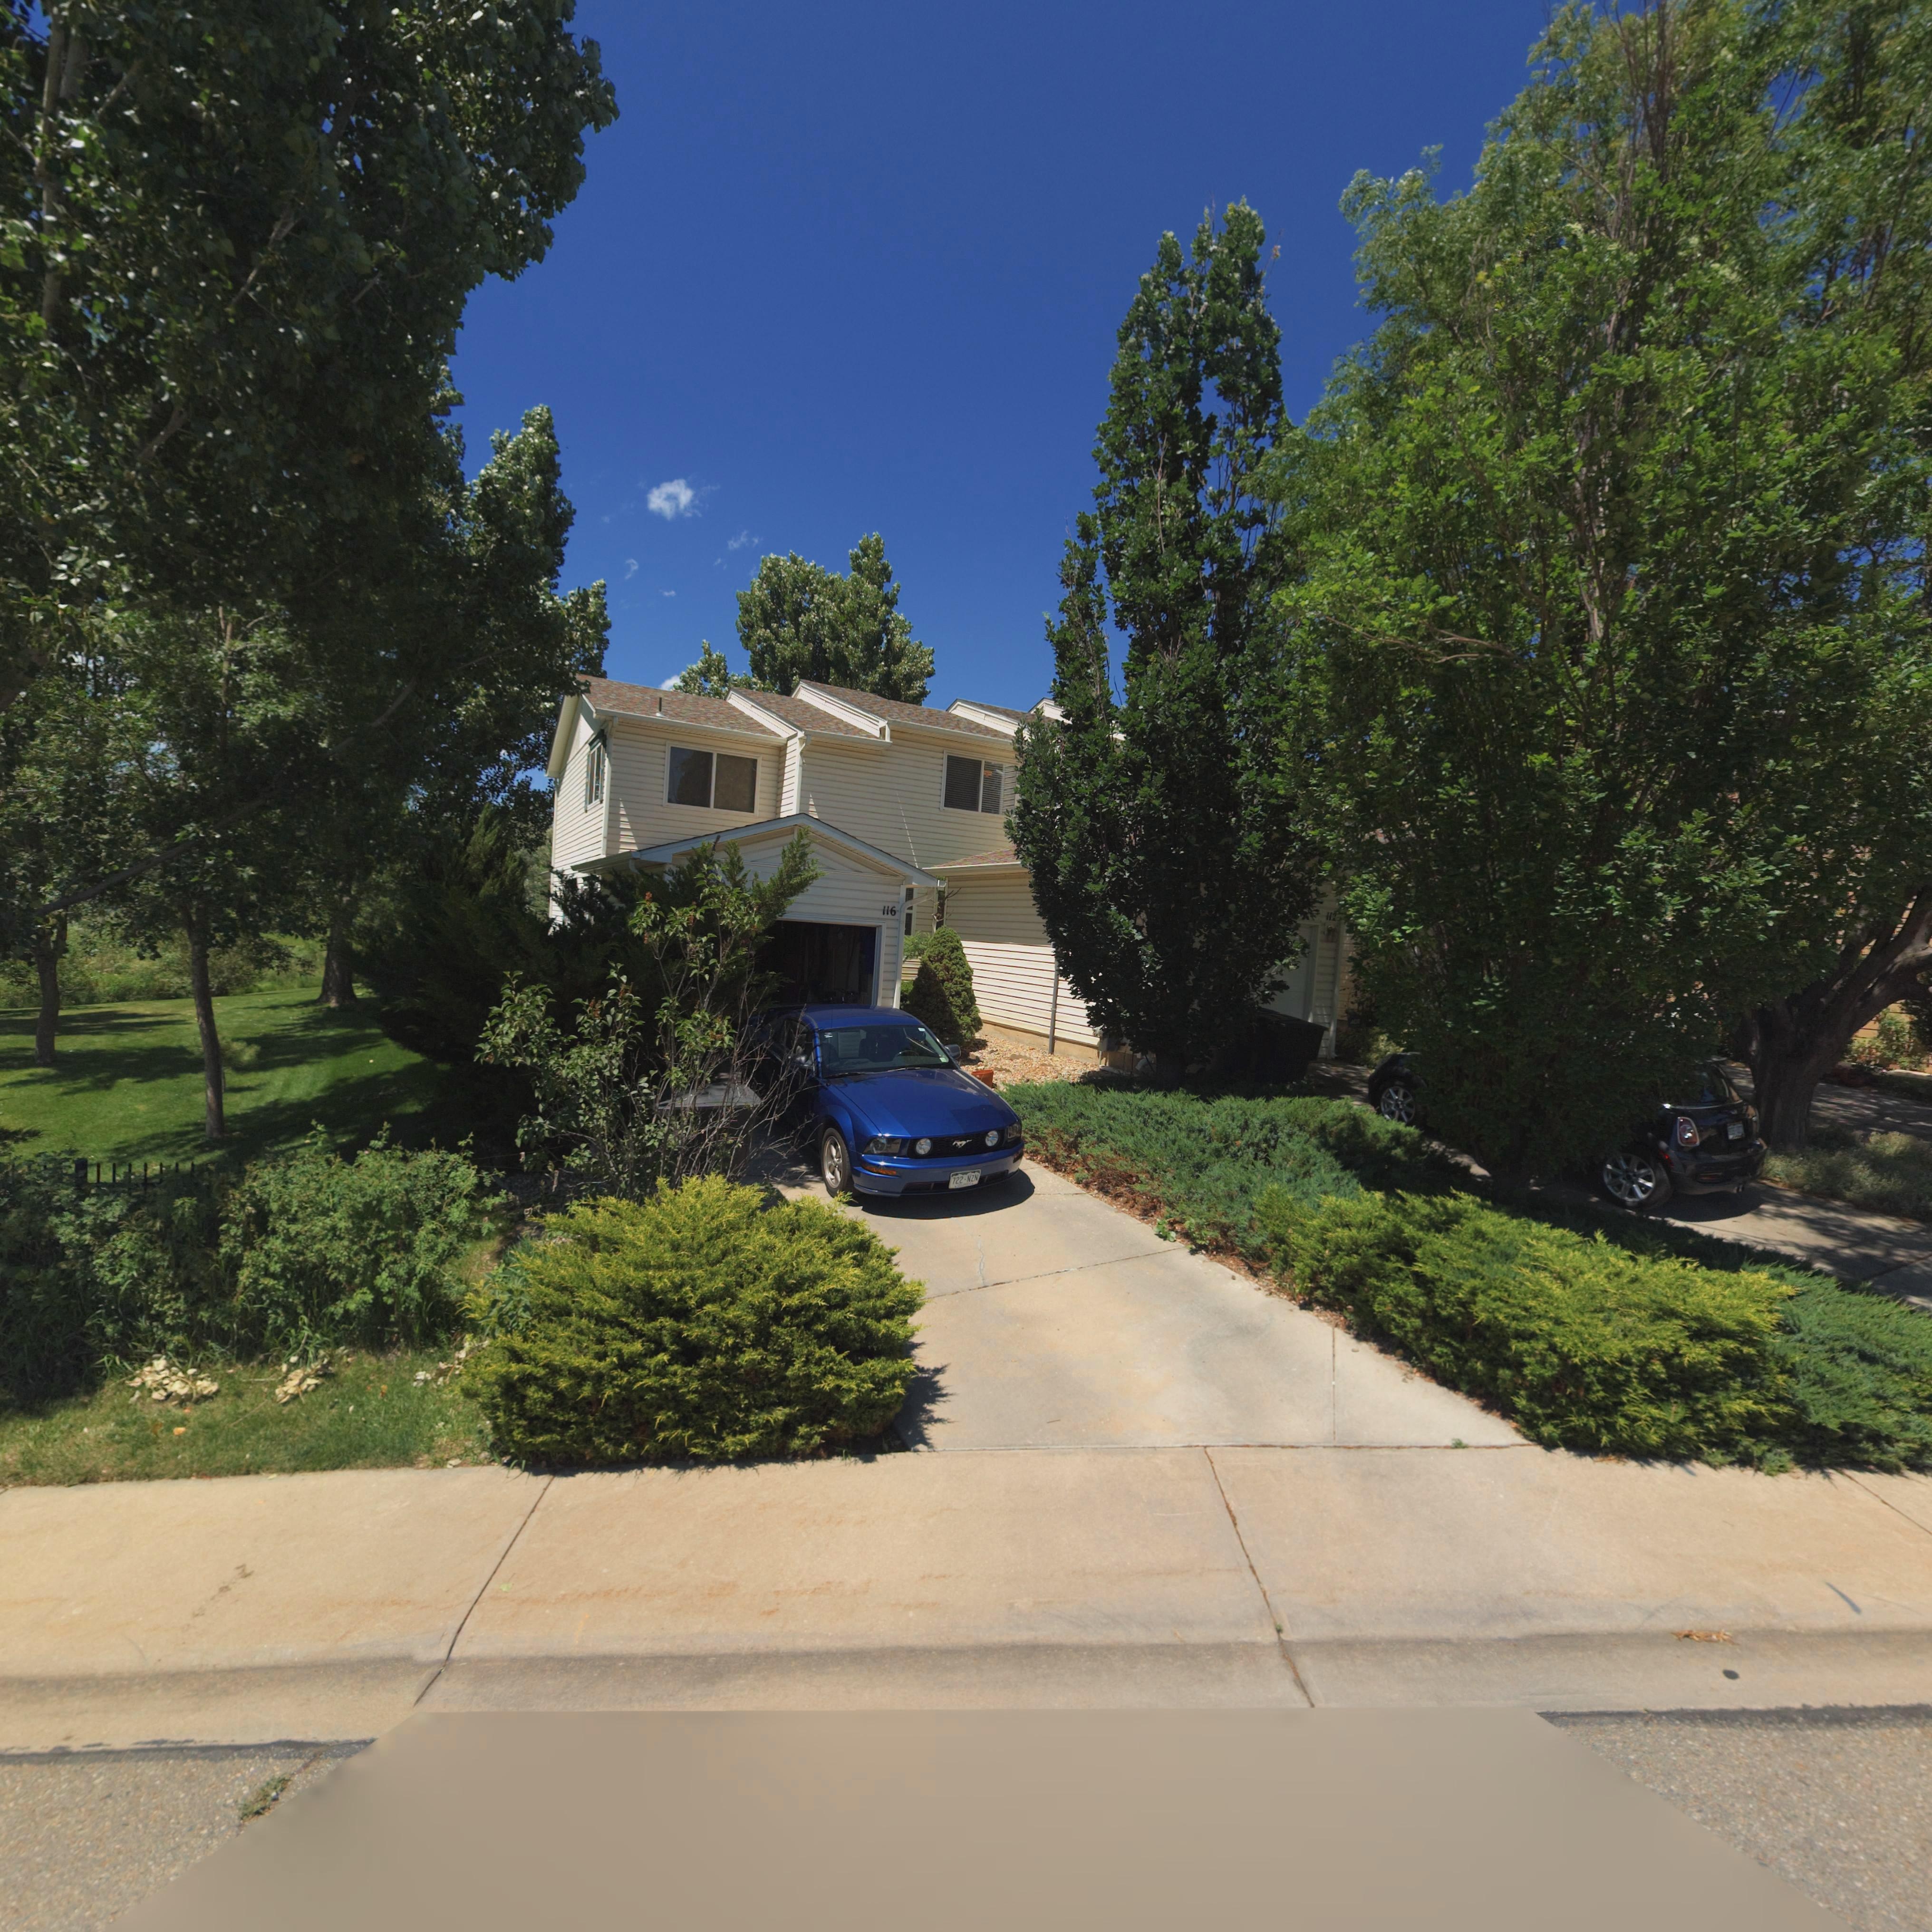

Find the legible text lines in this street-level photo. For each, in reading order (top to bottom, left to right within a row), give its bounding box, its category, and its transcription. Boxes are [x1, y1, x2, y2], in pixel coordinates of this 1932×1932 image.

[882, 905, 896, 916] StreetNumber: 116
[1326, 911, 1337, 921] StreetNumber: 112